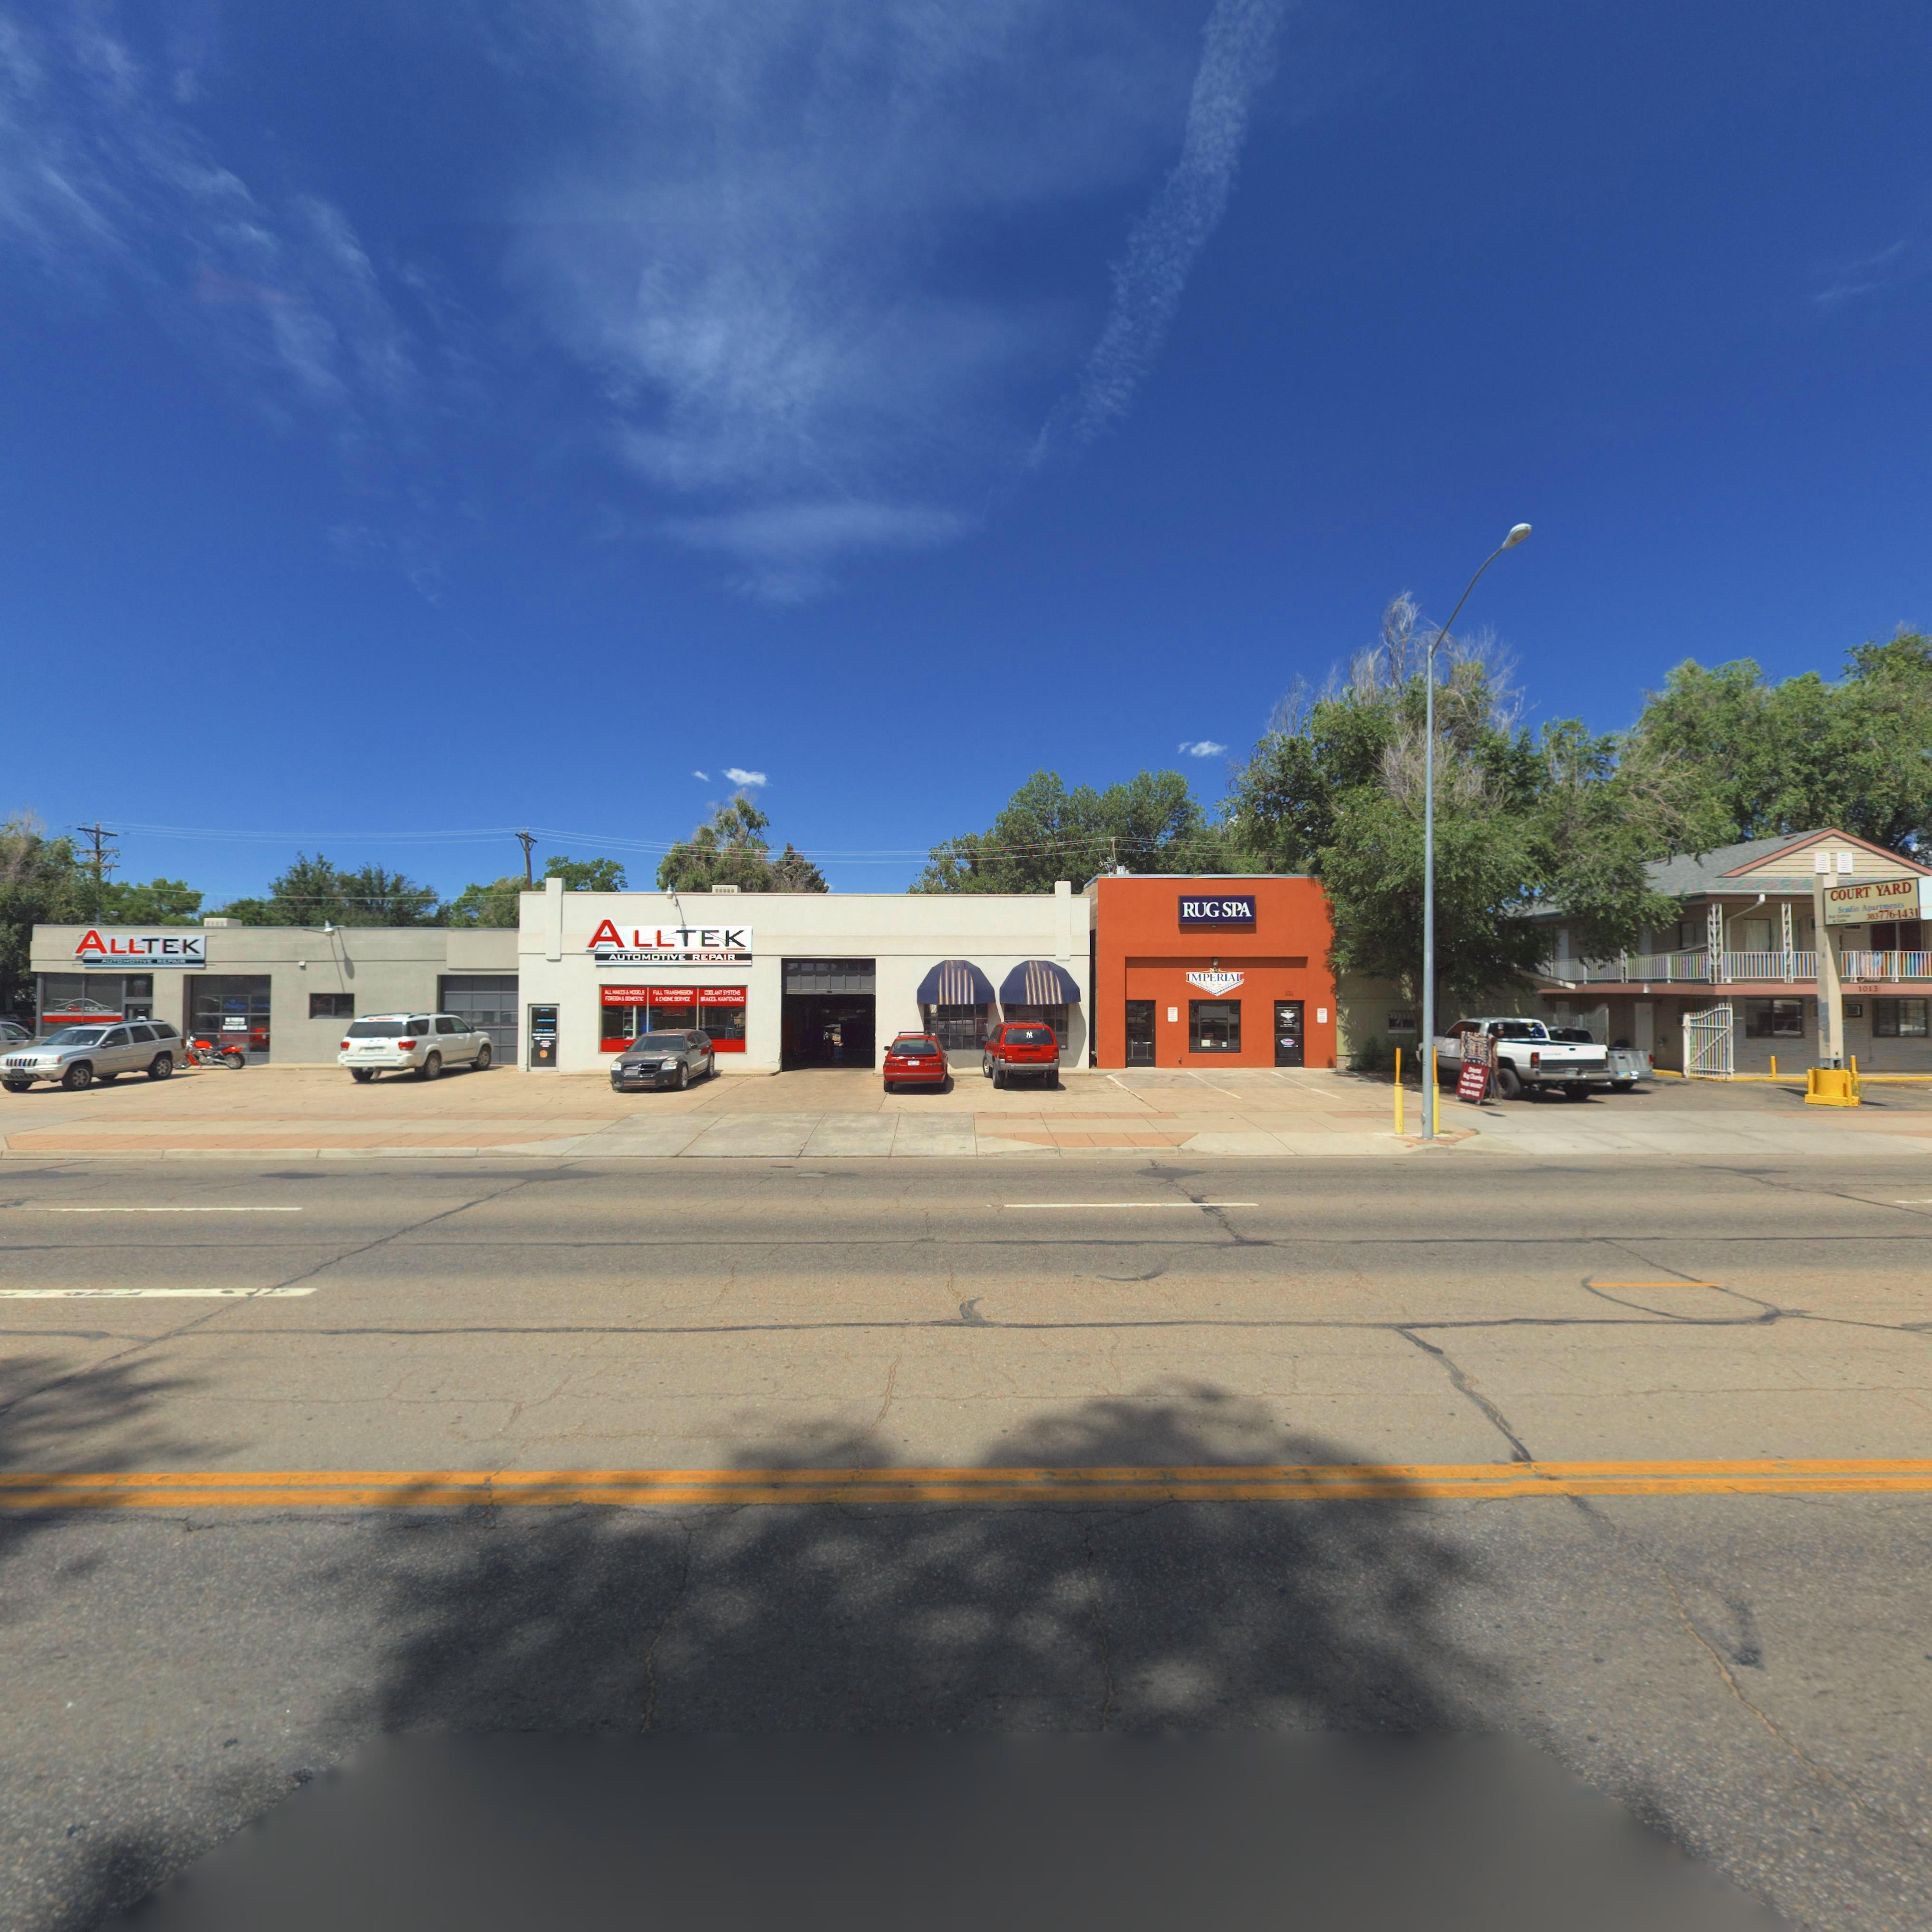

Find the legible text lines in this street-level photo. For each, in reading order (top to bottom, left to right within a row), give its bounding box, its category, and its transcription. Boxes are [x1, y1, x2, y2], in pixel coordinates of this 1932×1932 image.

[1830, 881, 1912, 902] None: COURT YARD
[1182, 901, 1252, 917] BusinessName: RUG SPA
[586, 918, 747, 948] BusinessName: ALLTEK
[72, 928, 201, 955] BusinessName: ALLTEK
[608, 953, 735, 960] BusinessName: AUTOMOTIVE REPAIR
[1186, 973, 1244, 981] BusinessName: IMPERIAL
[1284, 991, 1294, 996] StreetNumber: 10**
[1857, 984, 1878, 992] StreetNumber: 1013